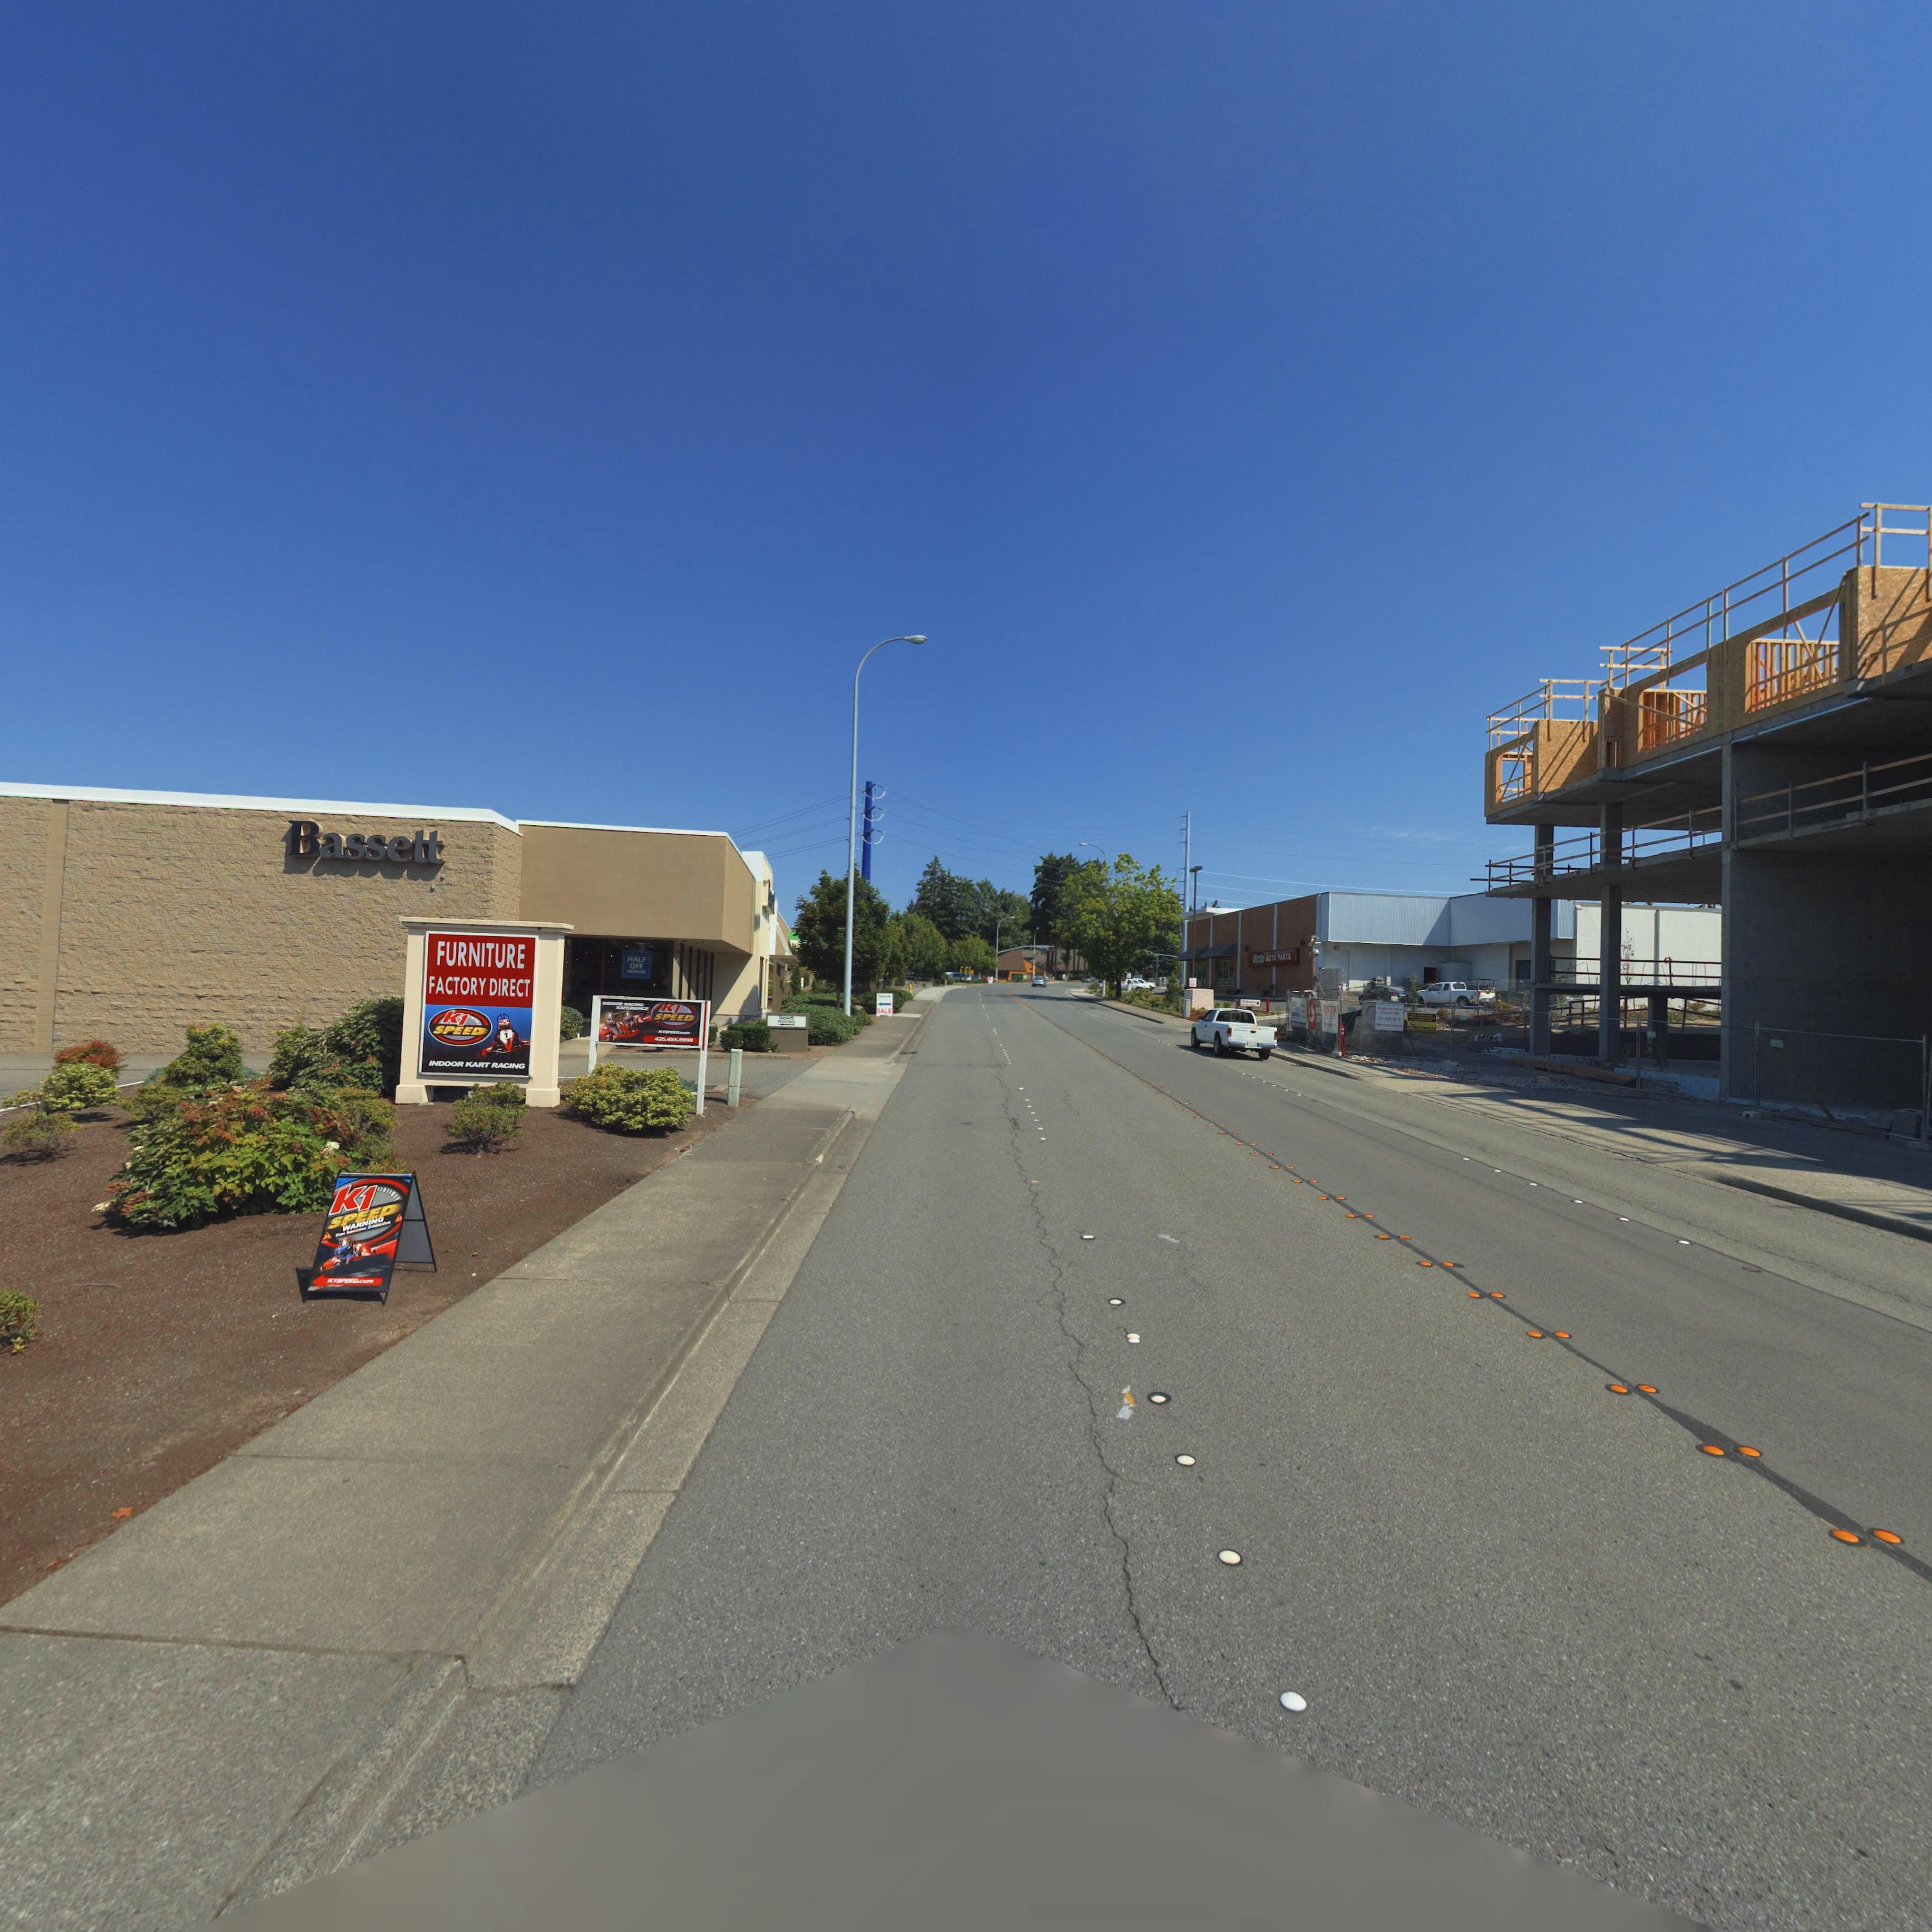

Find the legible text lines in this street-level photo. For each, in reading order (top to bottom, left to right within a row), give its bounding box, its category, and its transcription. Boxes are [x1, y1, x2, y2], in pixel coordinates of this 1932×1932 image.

[286, 818, 444, 865] BusinessName: Bassett
[436, 940, 526, 969] BusinessName: FURNITURE
[1265, 952, 1291, 962] BusinessName: AUTO PARTS
[429, 976, 530, 996] BusinessName: FACTORY DIRECT
[660, 1001, 681, 1014] BusinessName: k1
[441, 1009, 470, 1025] BusinessName: k1
[654, 1013, 695, 1021] BusinessName: SPEED
[778, 1014, 794, 1020] BusinessName: Bassett
[432, 1024, 487, 1035] BusinessName: SPEED
[327, 1183, 378, 1216] None: k1
[327, 1204, 397, 1229] BusinessName: SPEED